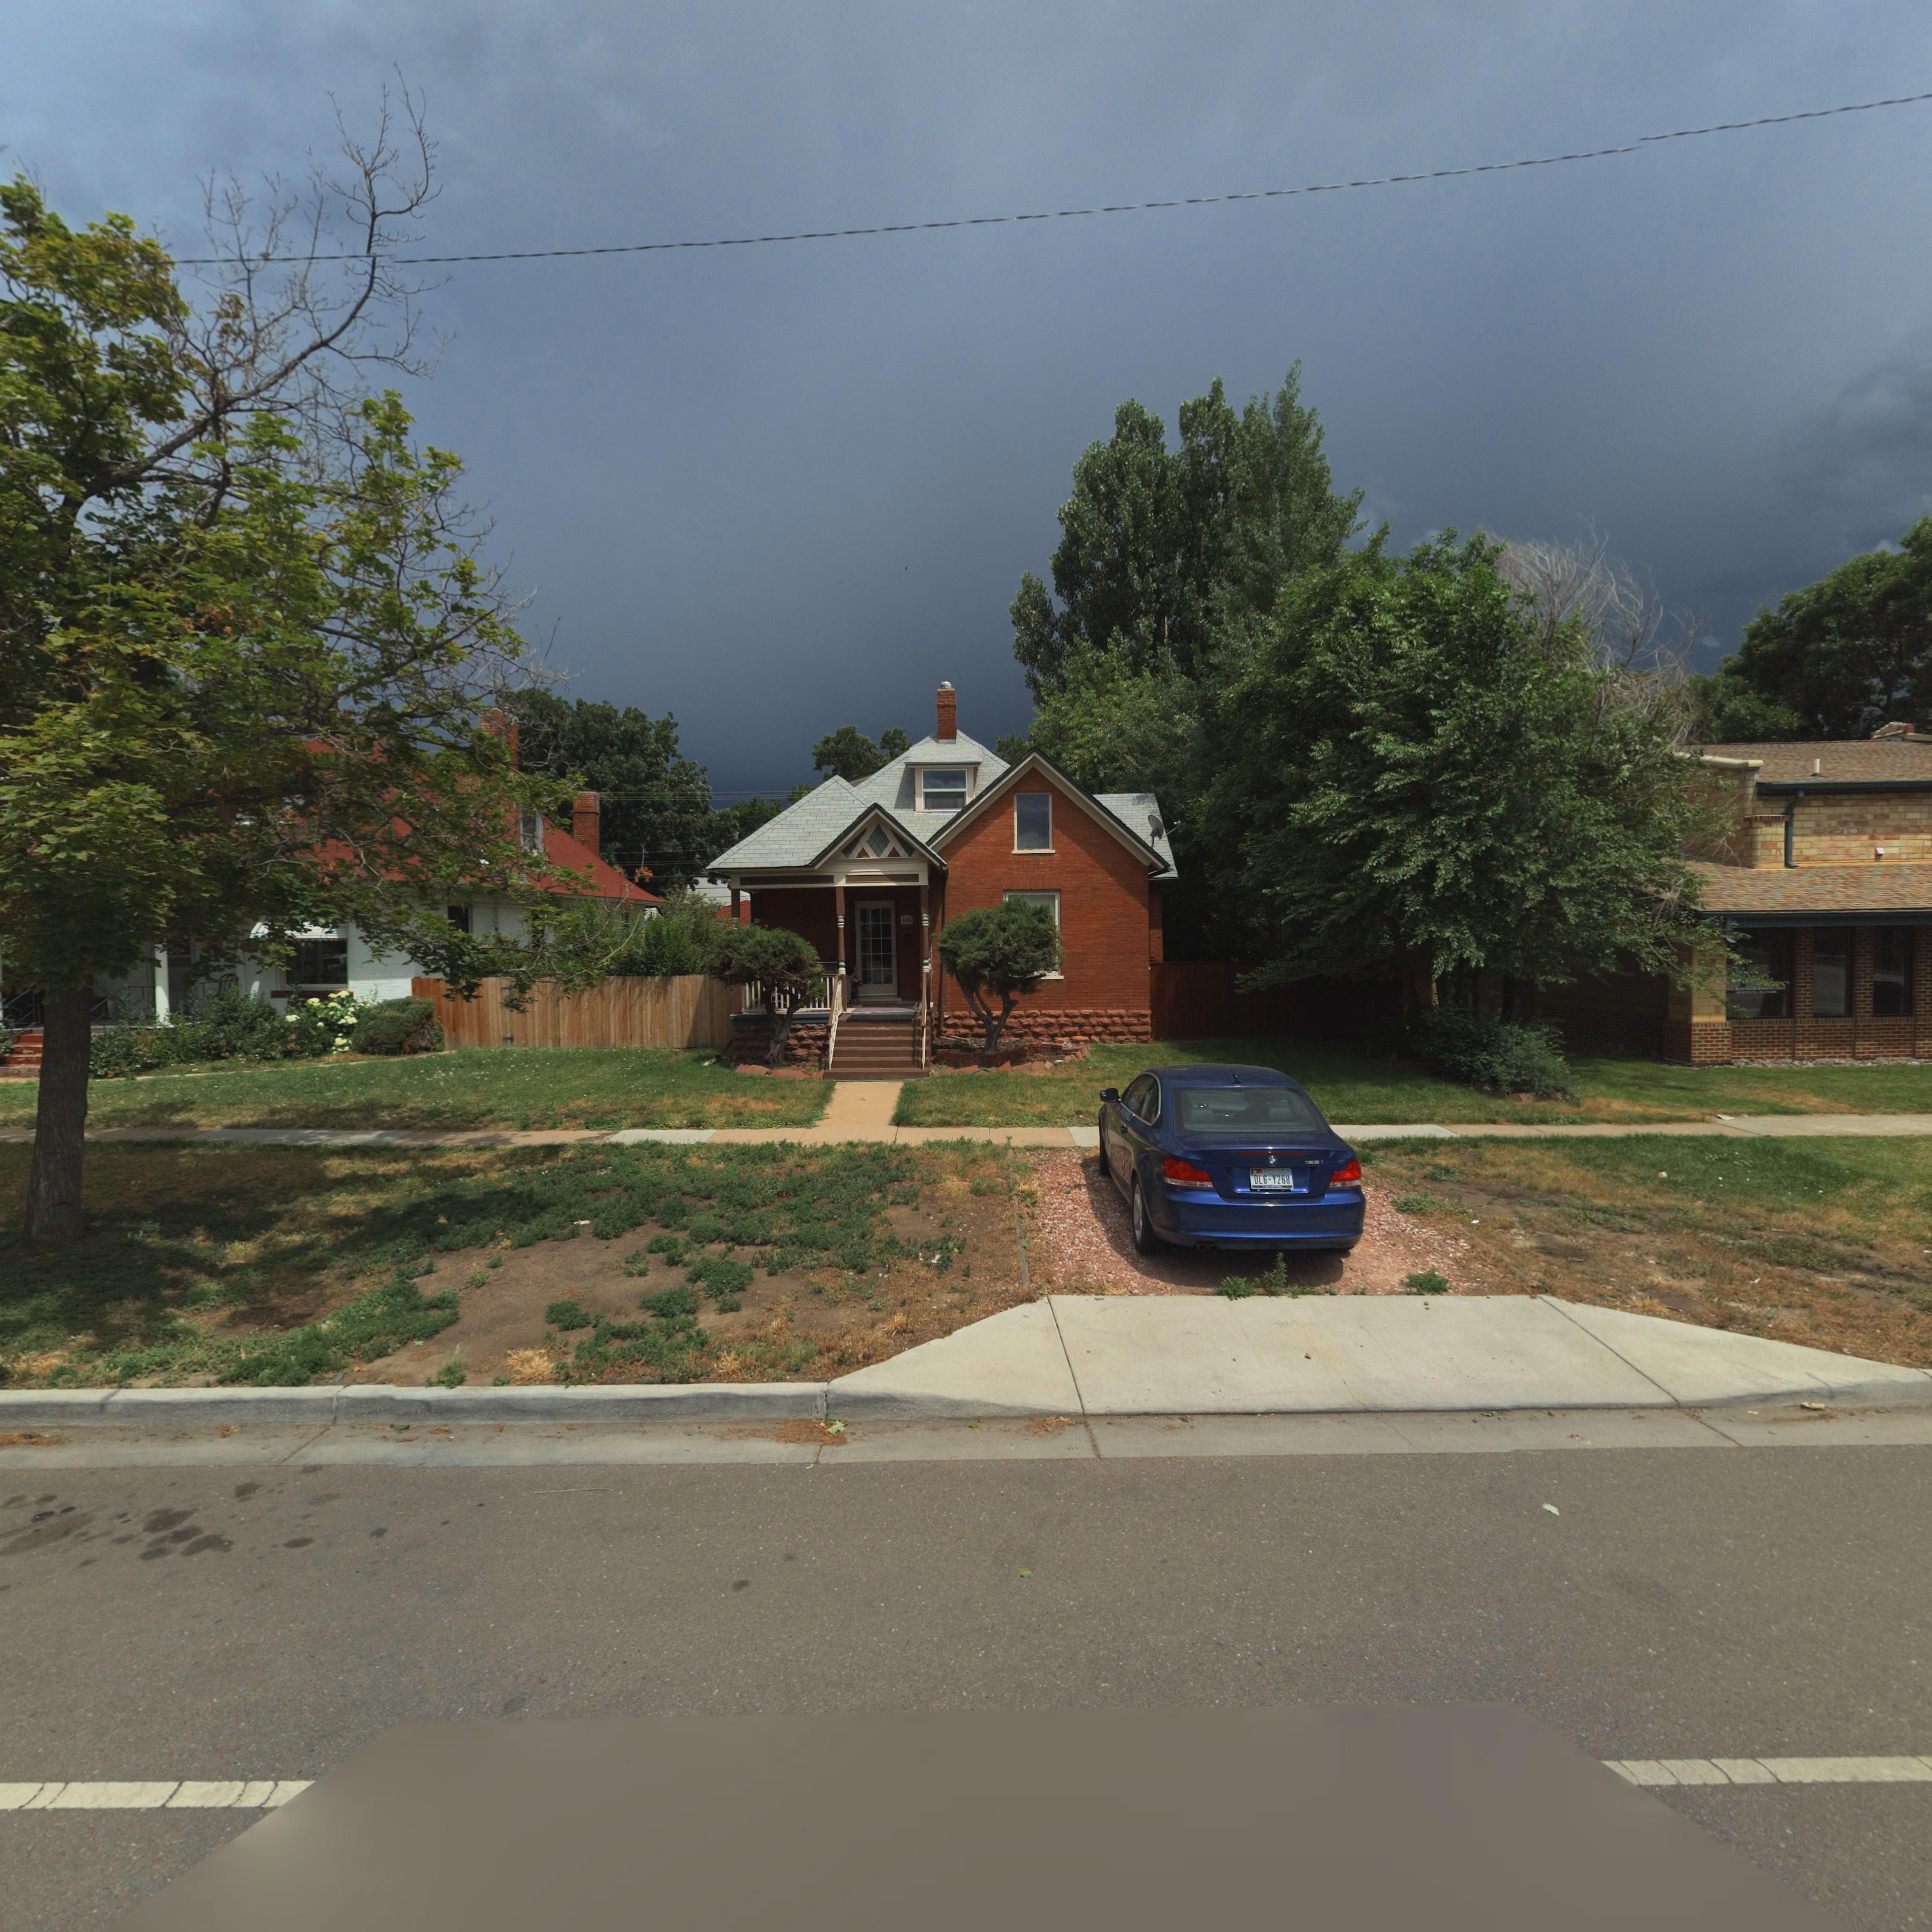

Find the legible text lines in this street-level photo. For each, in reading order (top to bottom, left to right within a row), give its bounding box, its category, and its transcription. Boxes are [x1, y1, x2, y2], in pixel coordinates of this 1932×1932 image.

[902, 917, 912, 922] StreetNumber: 506